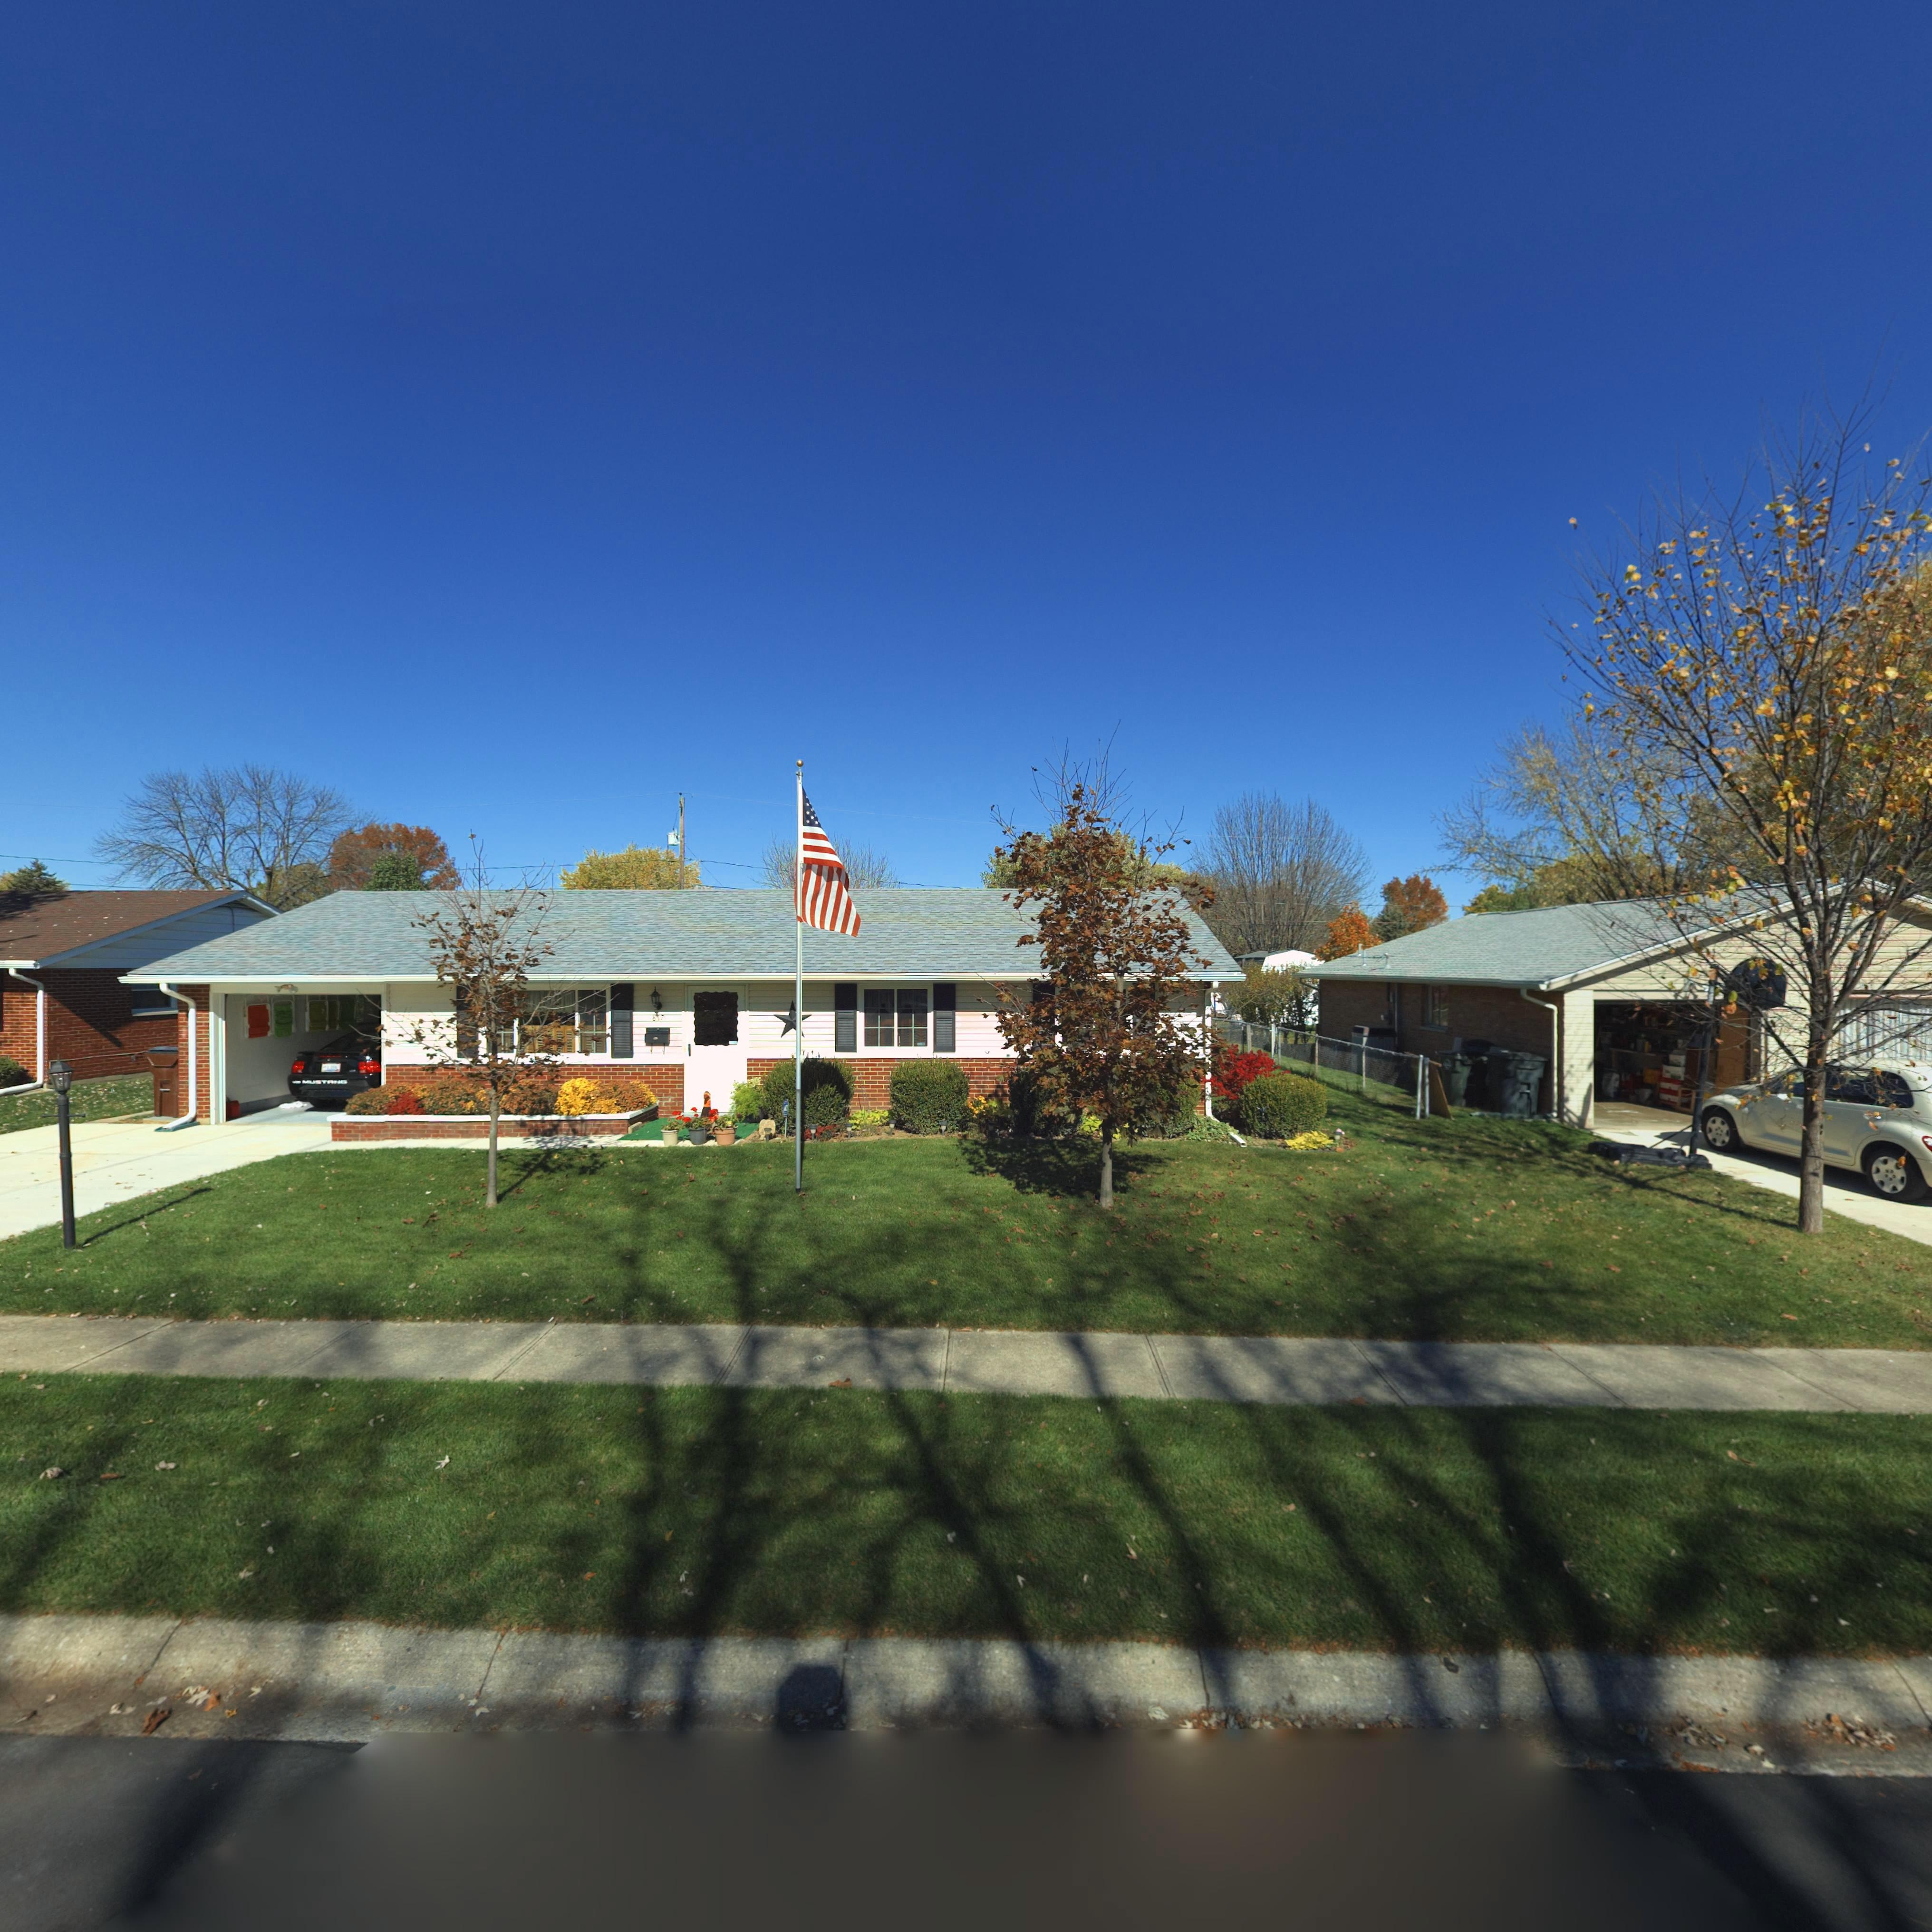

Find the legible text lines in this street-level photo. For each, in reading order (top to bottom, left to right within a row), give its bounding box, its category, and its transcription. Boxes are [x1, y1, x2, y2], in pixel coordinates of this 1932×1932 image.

[651, 1014, 664, 1021] StreetNumber: 817